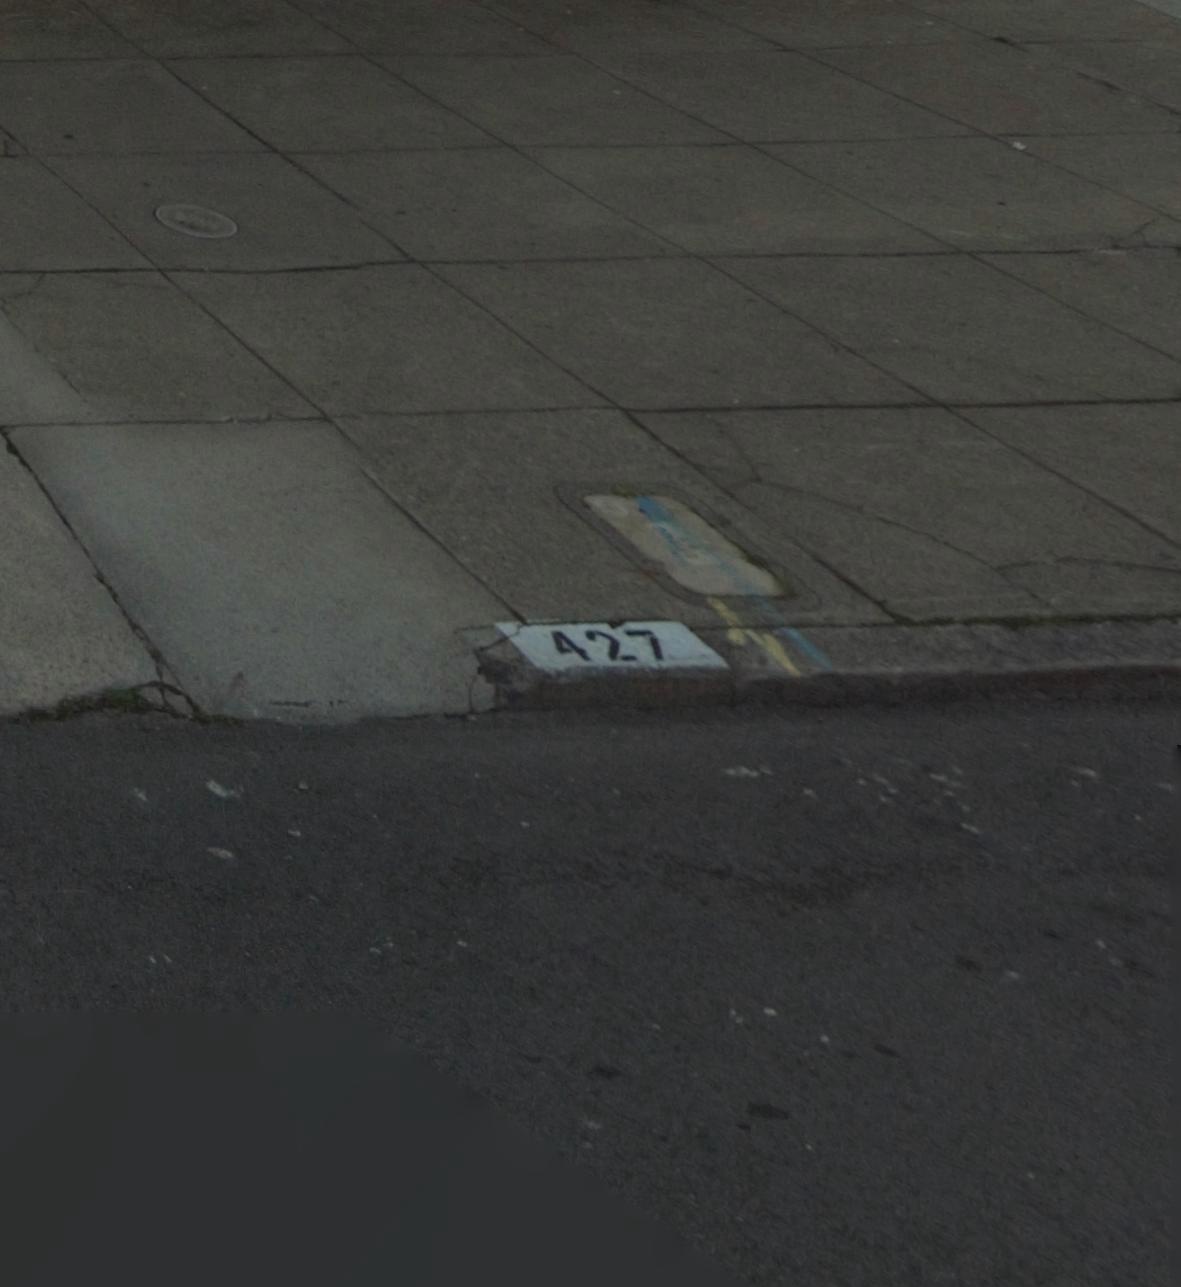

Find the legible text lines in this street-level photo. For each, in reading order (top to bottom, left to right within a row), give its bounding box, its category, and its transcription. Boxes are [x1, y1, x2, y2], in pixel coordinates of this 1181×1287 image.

[546, 626, 670, 665] StreetNumber: 427